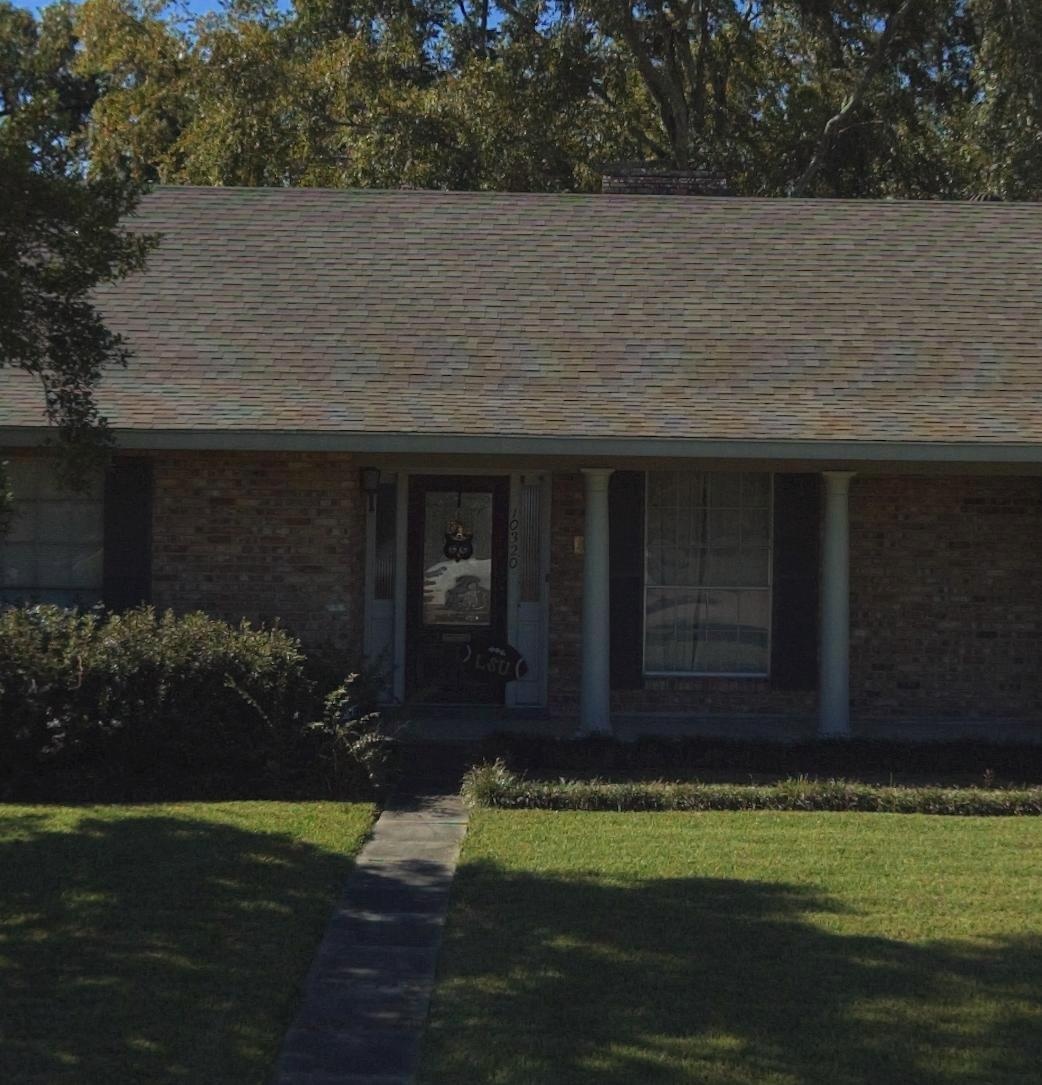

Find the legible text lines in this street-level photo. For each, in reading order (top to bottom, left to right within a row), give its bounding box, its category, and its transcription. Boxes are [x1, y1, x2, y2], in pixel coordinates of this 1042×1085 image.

[507, 507, 520, 571] StreetNumber: 10320
[472, 650, 514, 679] None: LSU